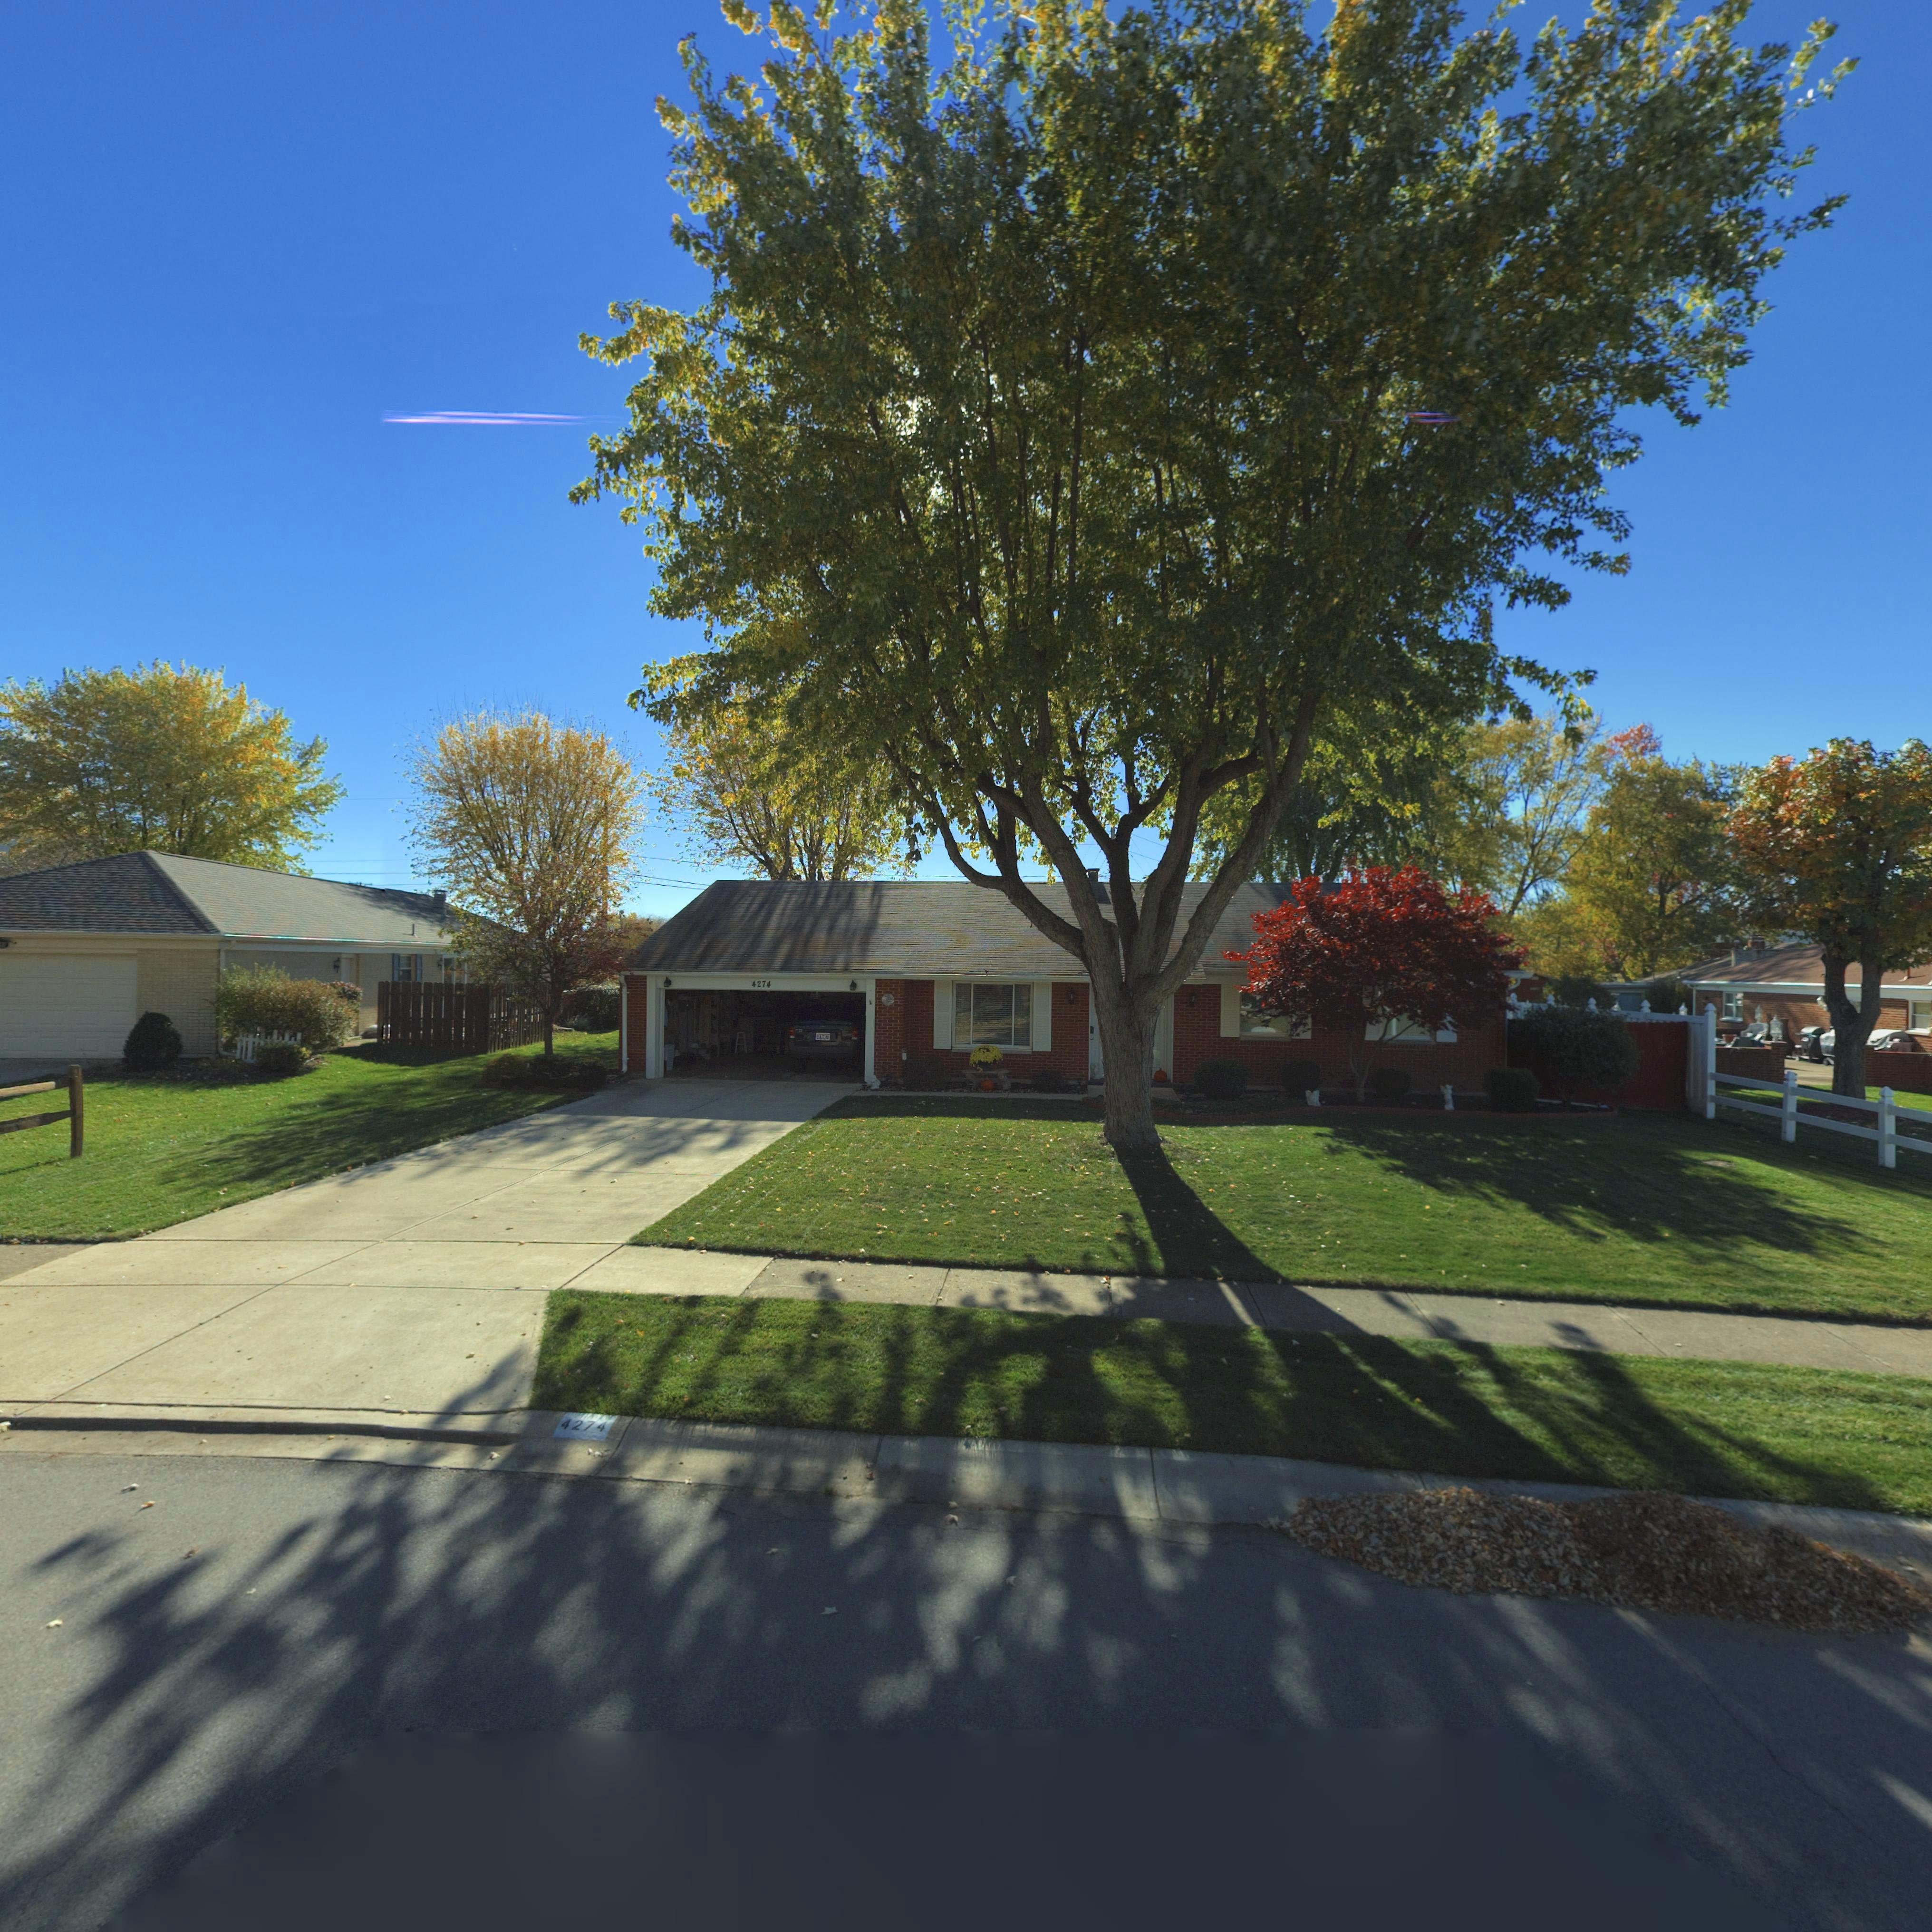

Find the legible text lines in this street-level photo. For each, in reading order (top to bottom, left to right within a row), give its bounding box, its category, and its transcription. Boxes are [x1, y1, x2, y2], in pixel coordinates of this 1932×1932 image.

[751, 979, 772, 989] StreetNumber: 4274
[560, 1418, 608, 1433] StreetNumber: 4274